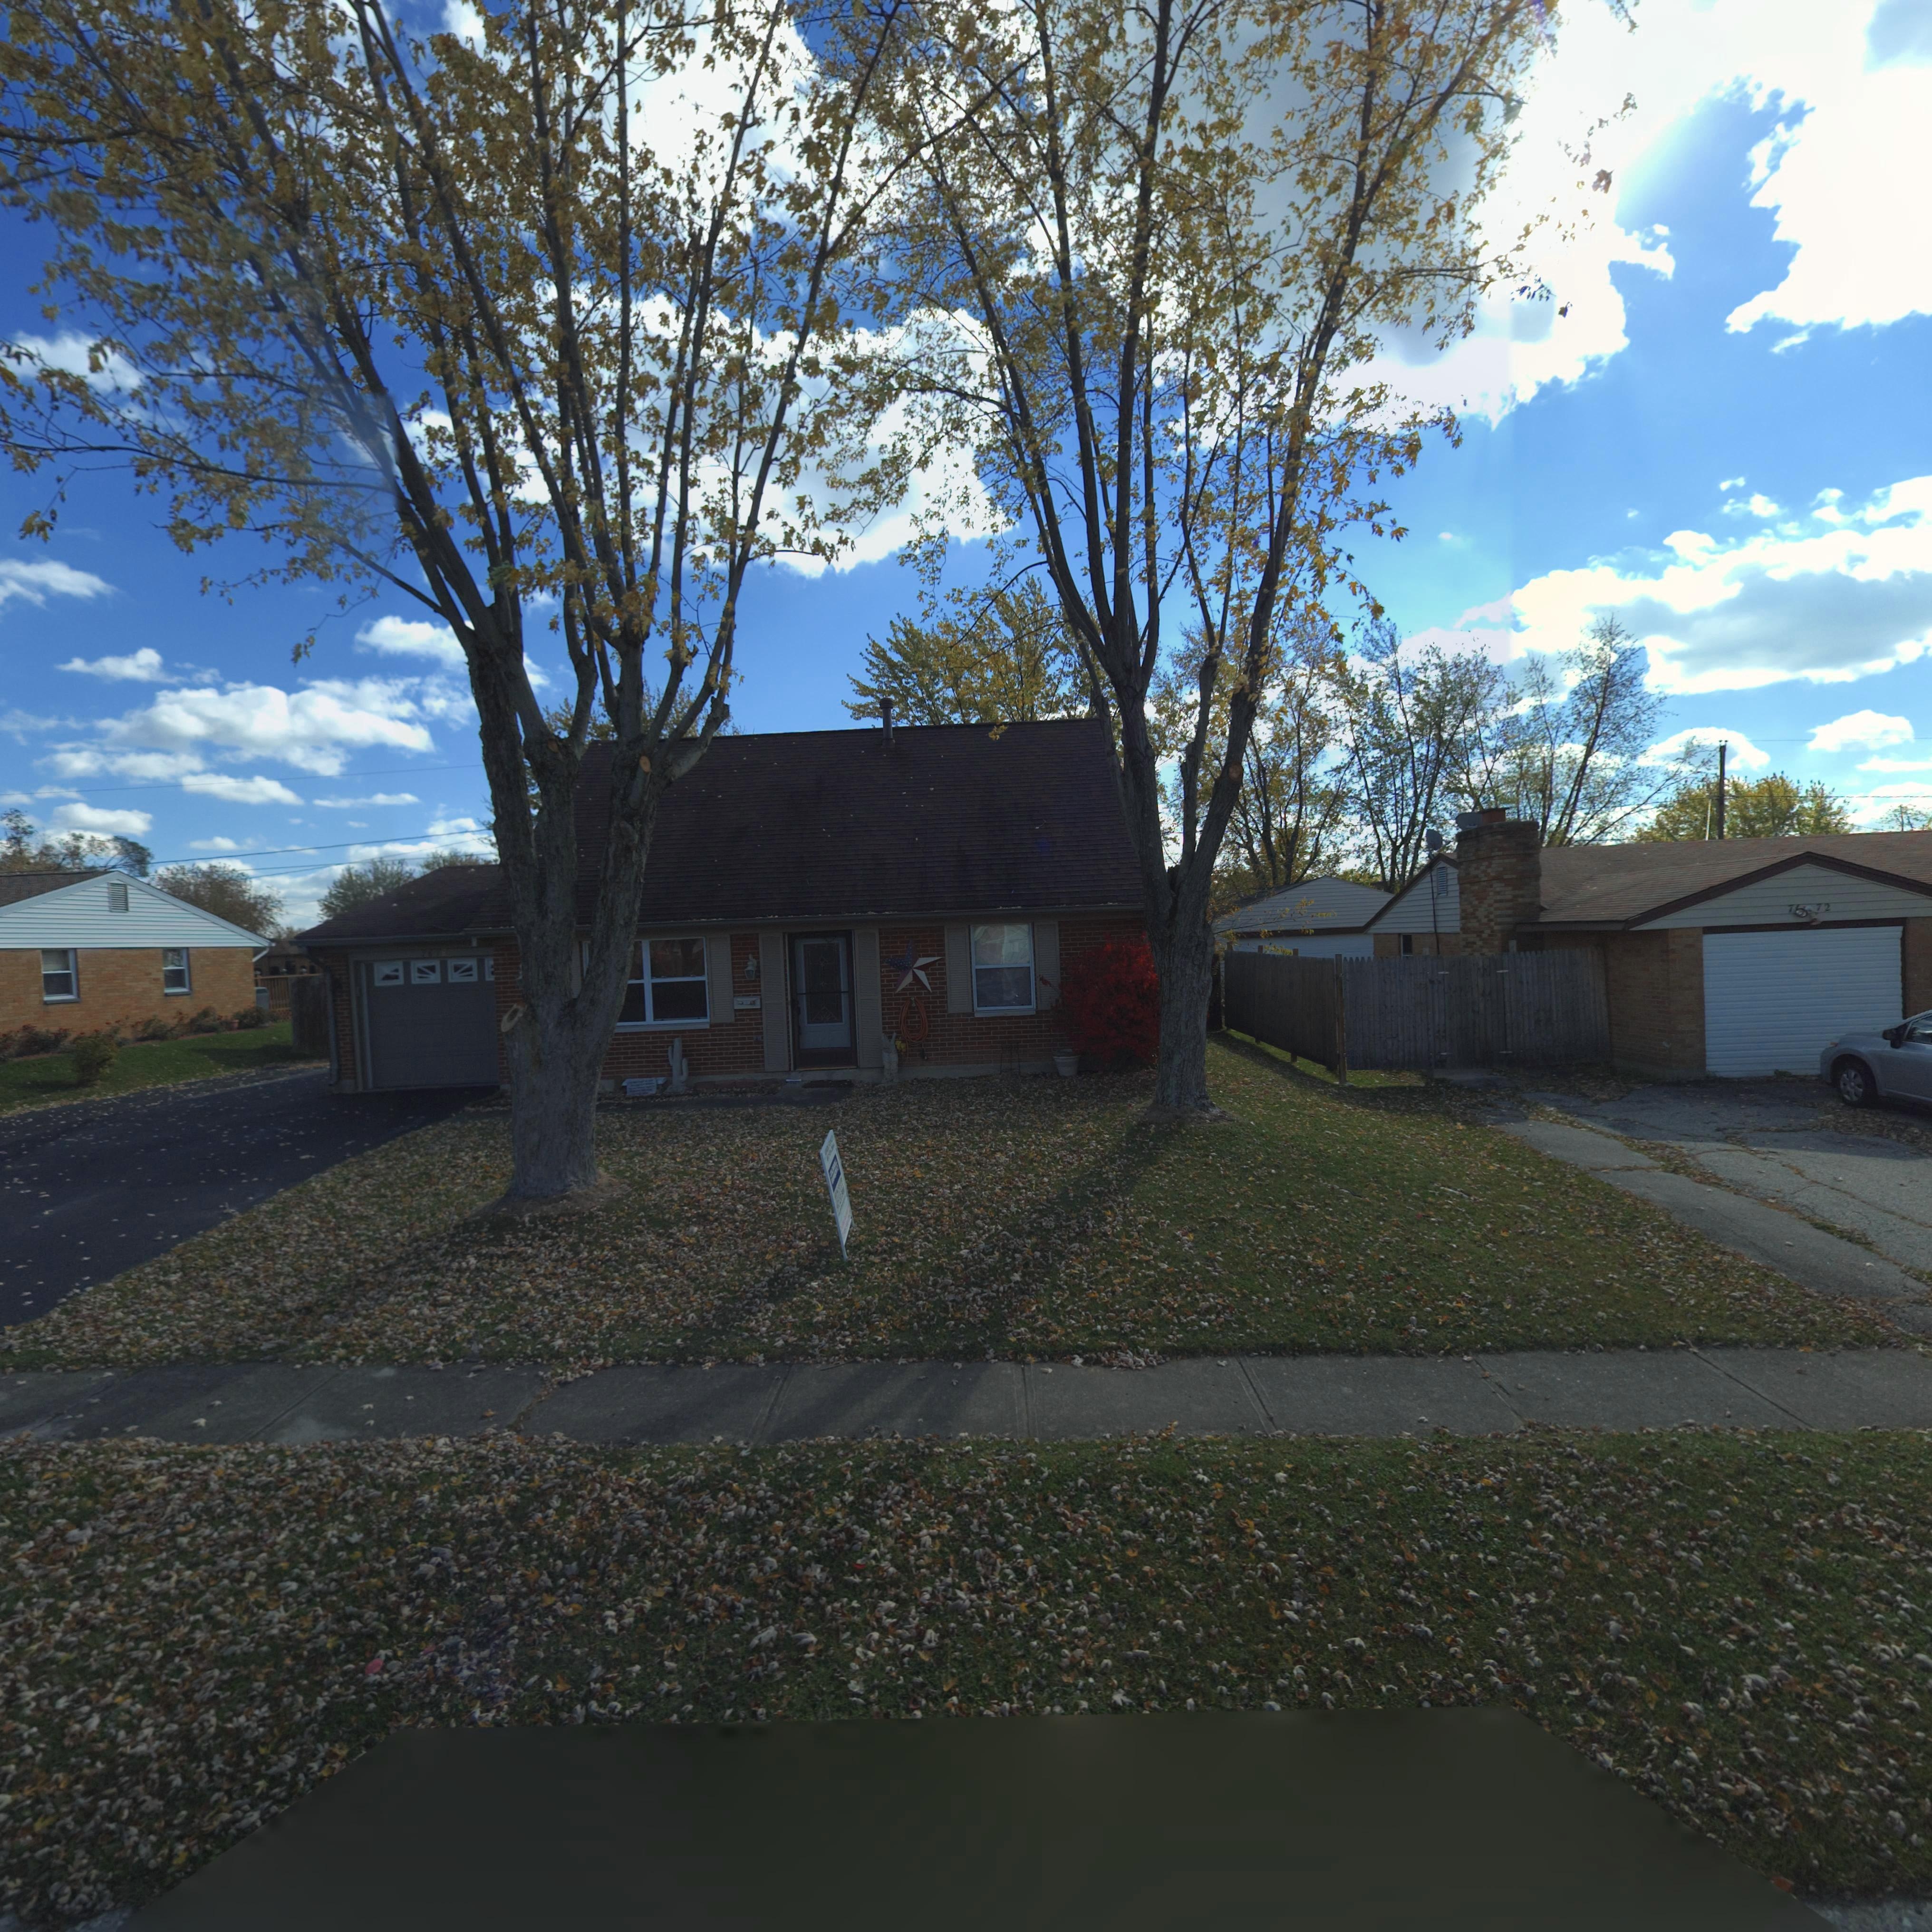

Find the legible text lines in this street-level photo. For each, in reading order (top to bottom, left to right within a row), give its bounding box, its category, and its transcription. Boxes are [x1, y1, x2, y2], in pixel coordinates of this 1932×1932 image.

[1787, 902, 1831, 913] StreetNumber: 7**72
[420, 947, 448, 959] StreetNumber: 7678